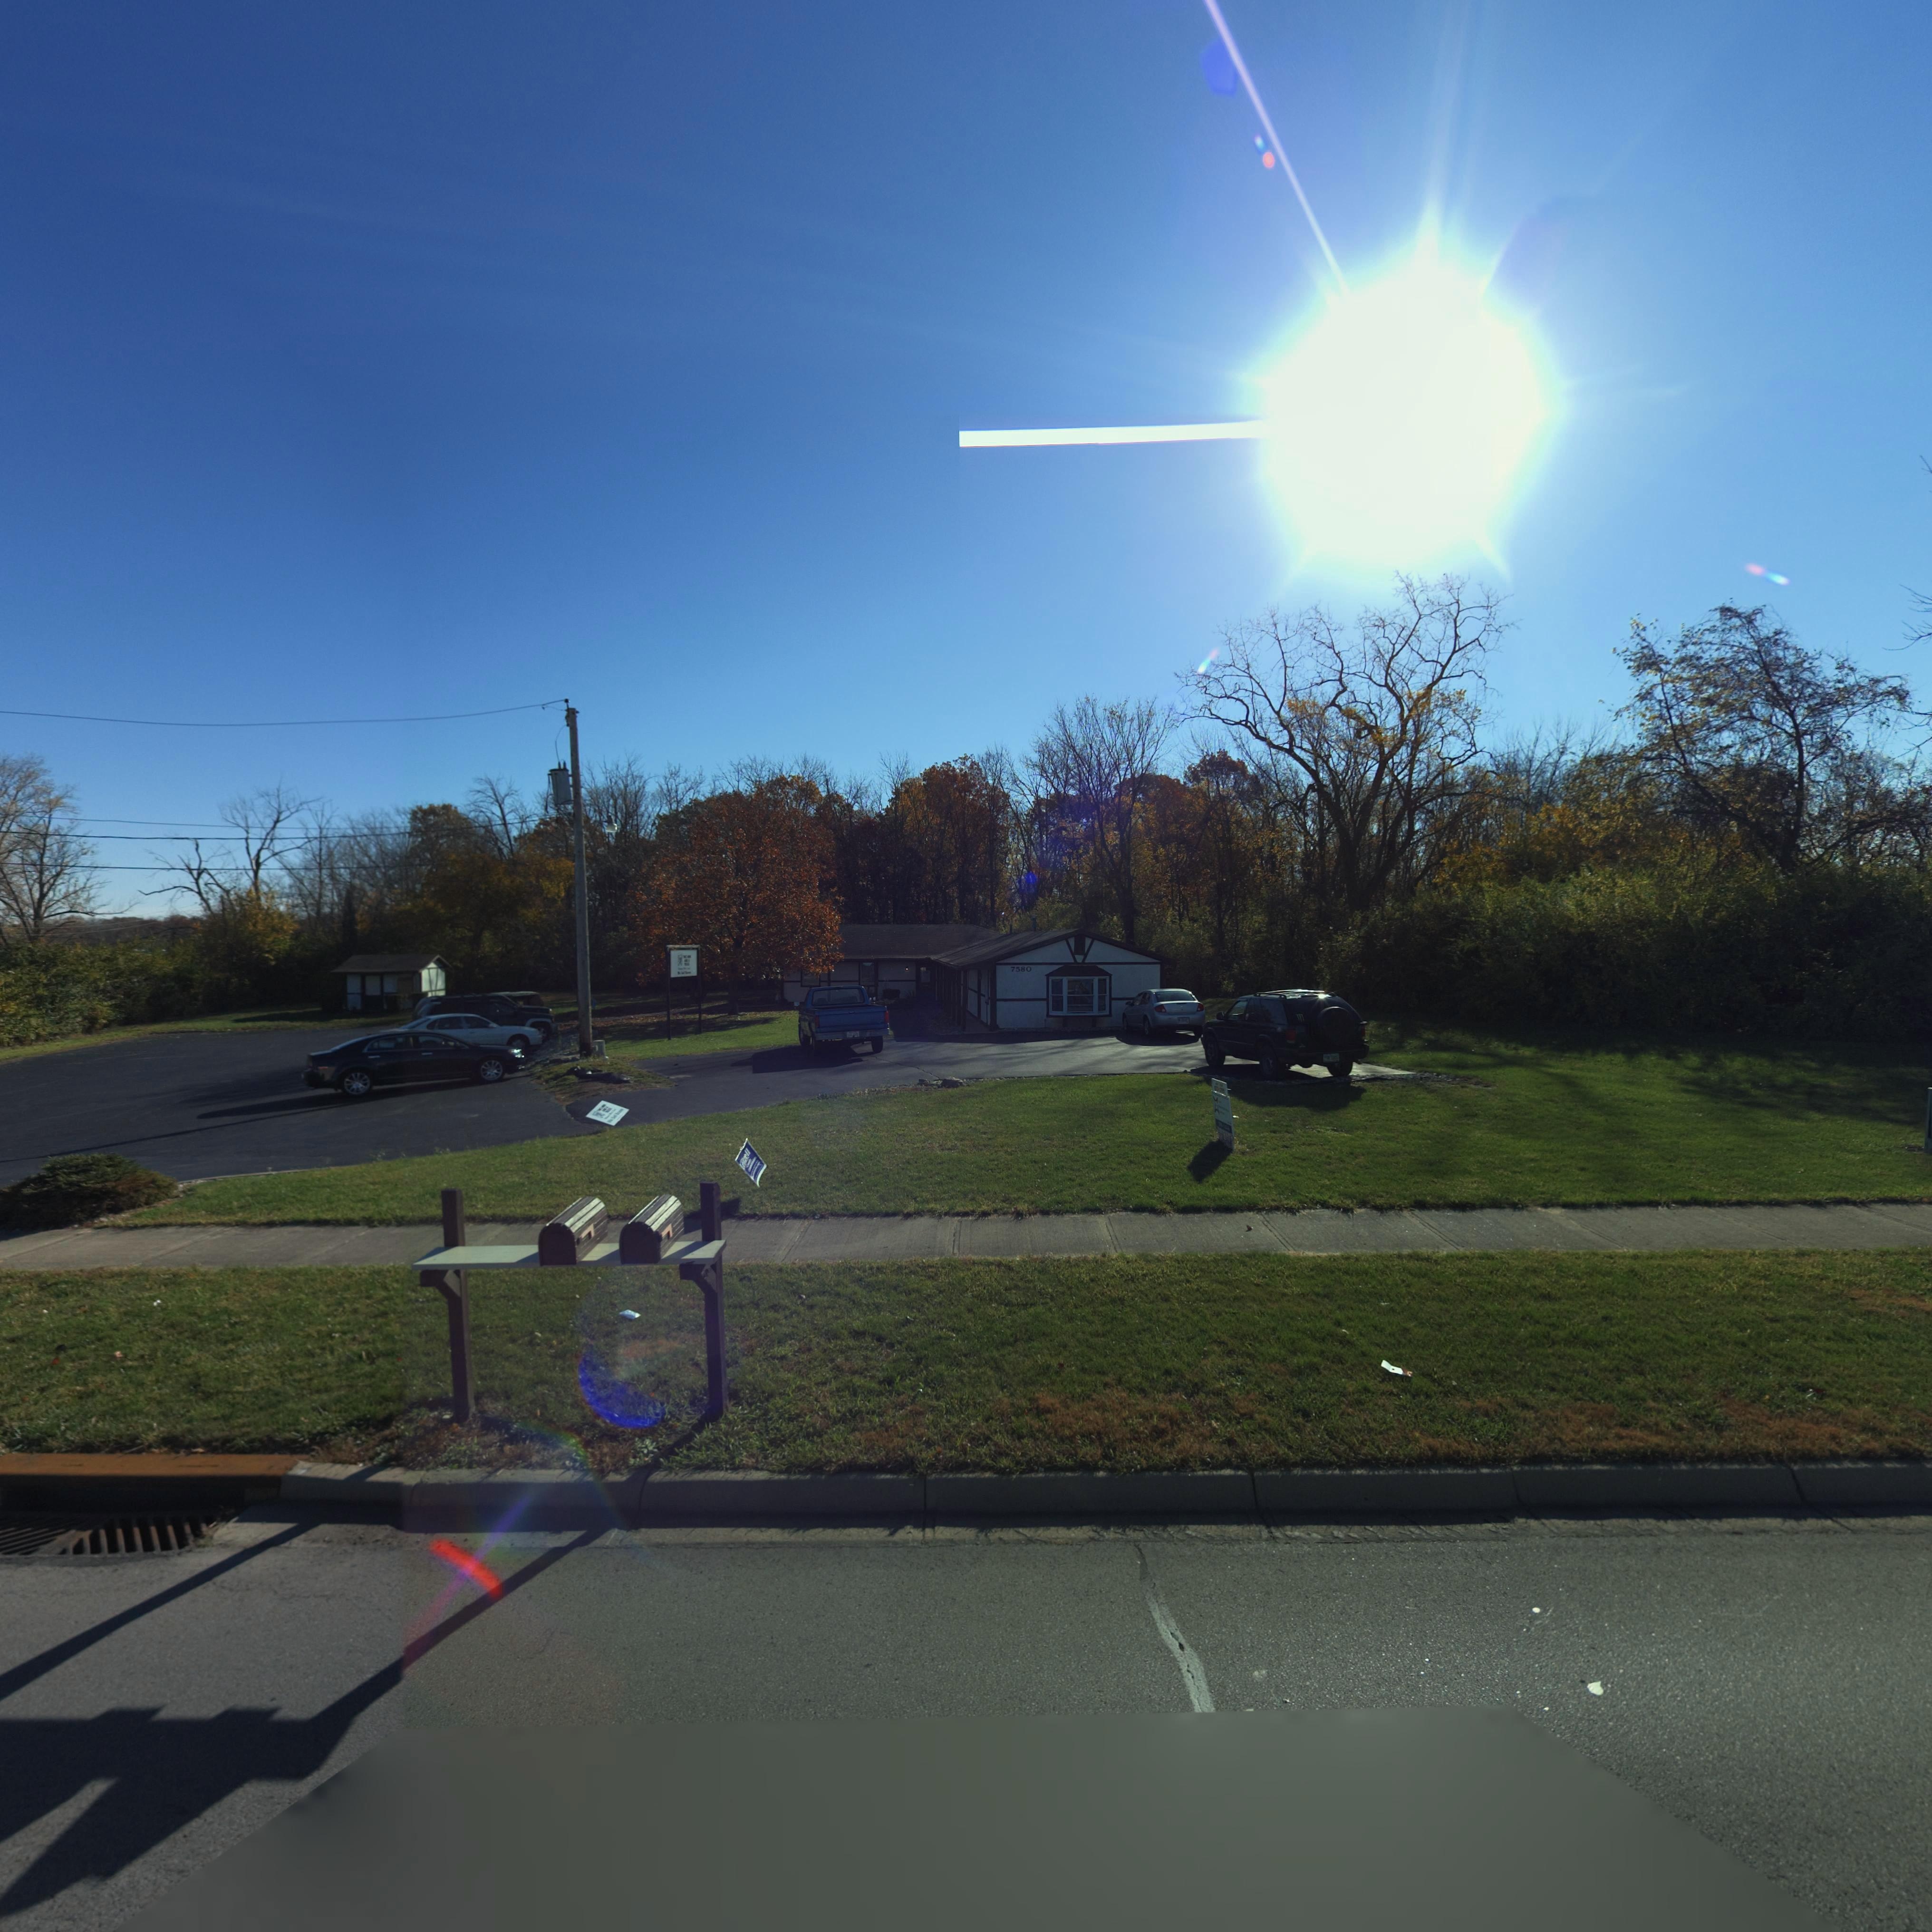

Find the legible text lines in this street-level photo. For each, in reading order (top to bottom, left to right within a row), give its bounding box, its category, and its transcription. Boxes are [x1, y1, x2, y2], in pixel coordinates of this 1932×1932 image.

[1010, 966, 1033, 973] StreetNumber: 7580